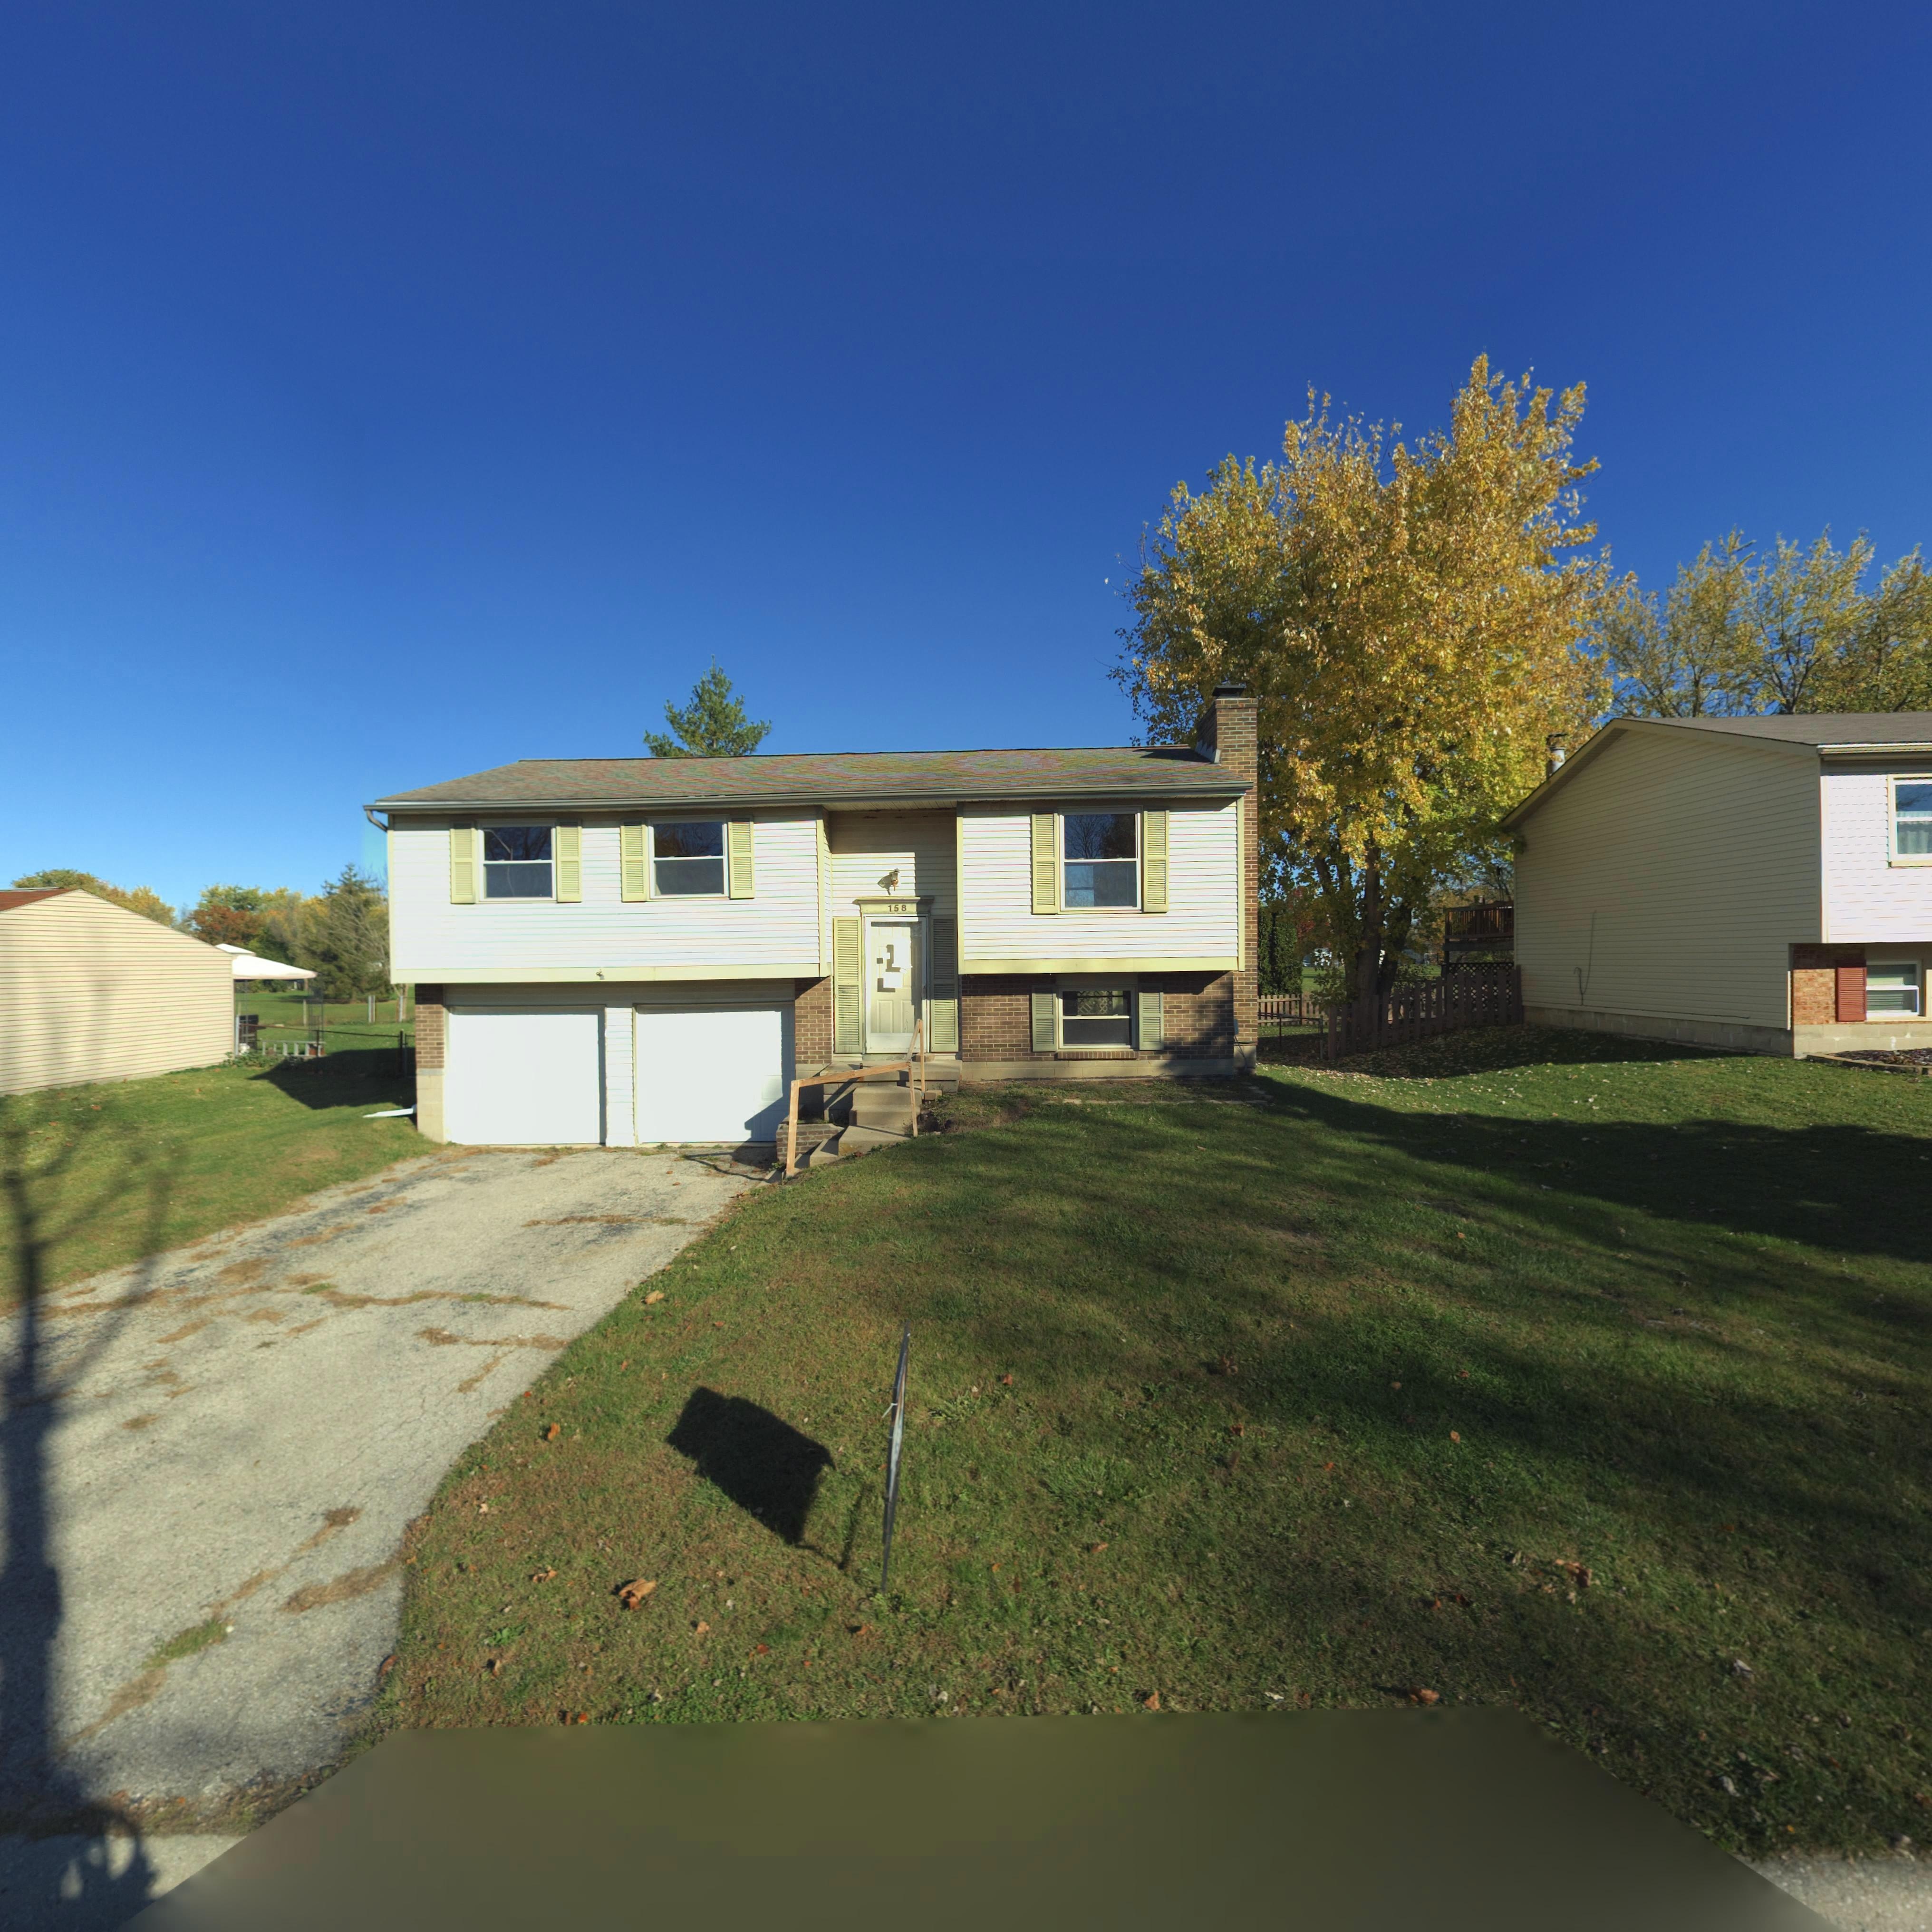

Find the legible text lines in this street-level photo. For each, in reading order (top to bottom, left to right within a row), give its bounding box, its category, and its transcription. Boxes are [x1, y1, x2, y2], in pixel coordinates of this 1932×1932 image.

[886, 902, 908, 913] StreetNumber: 158